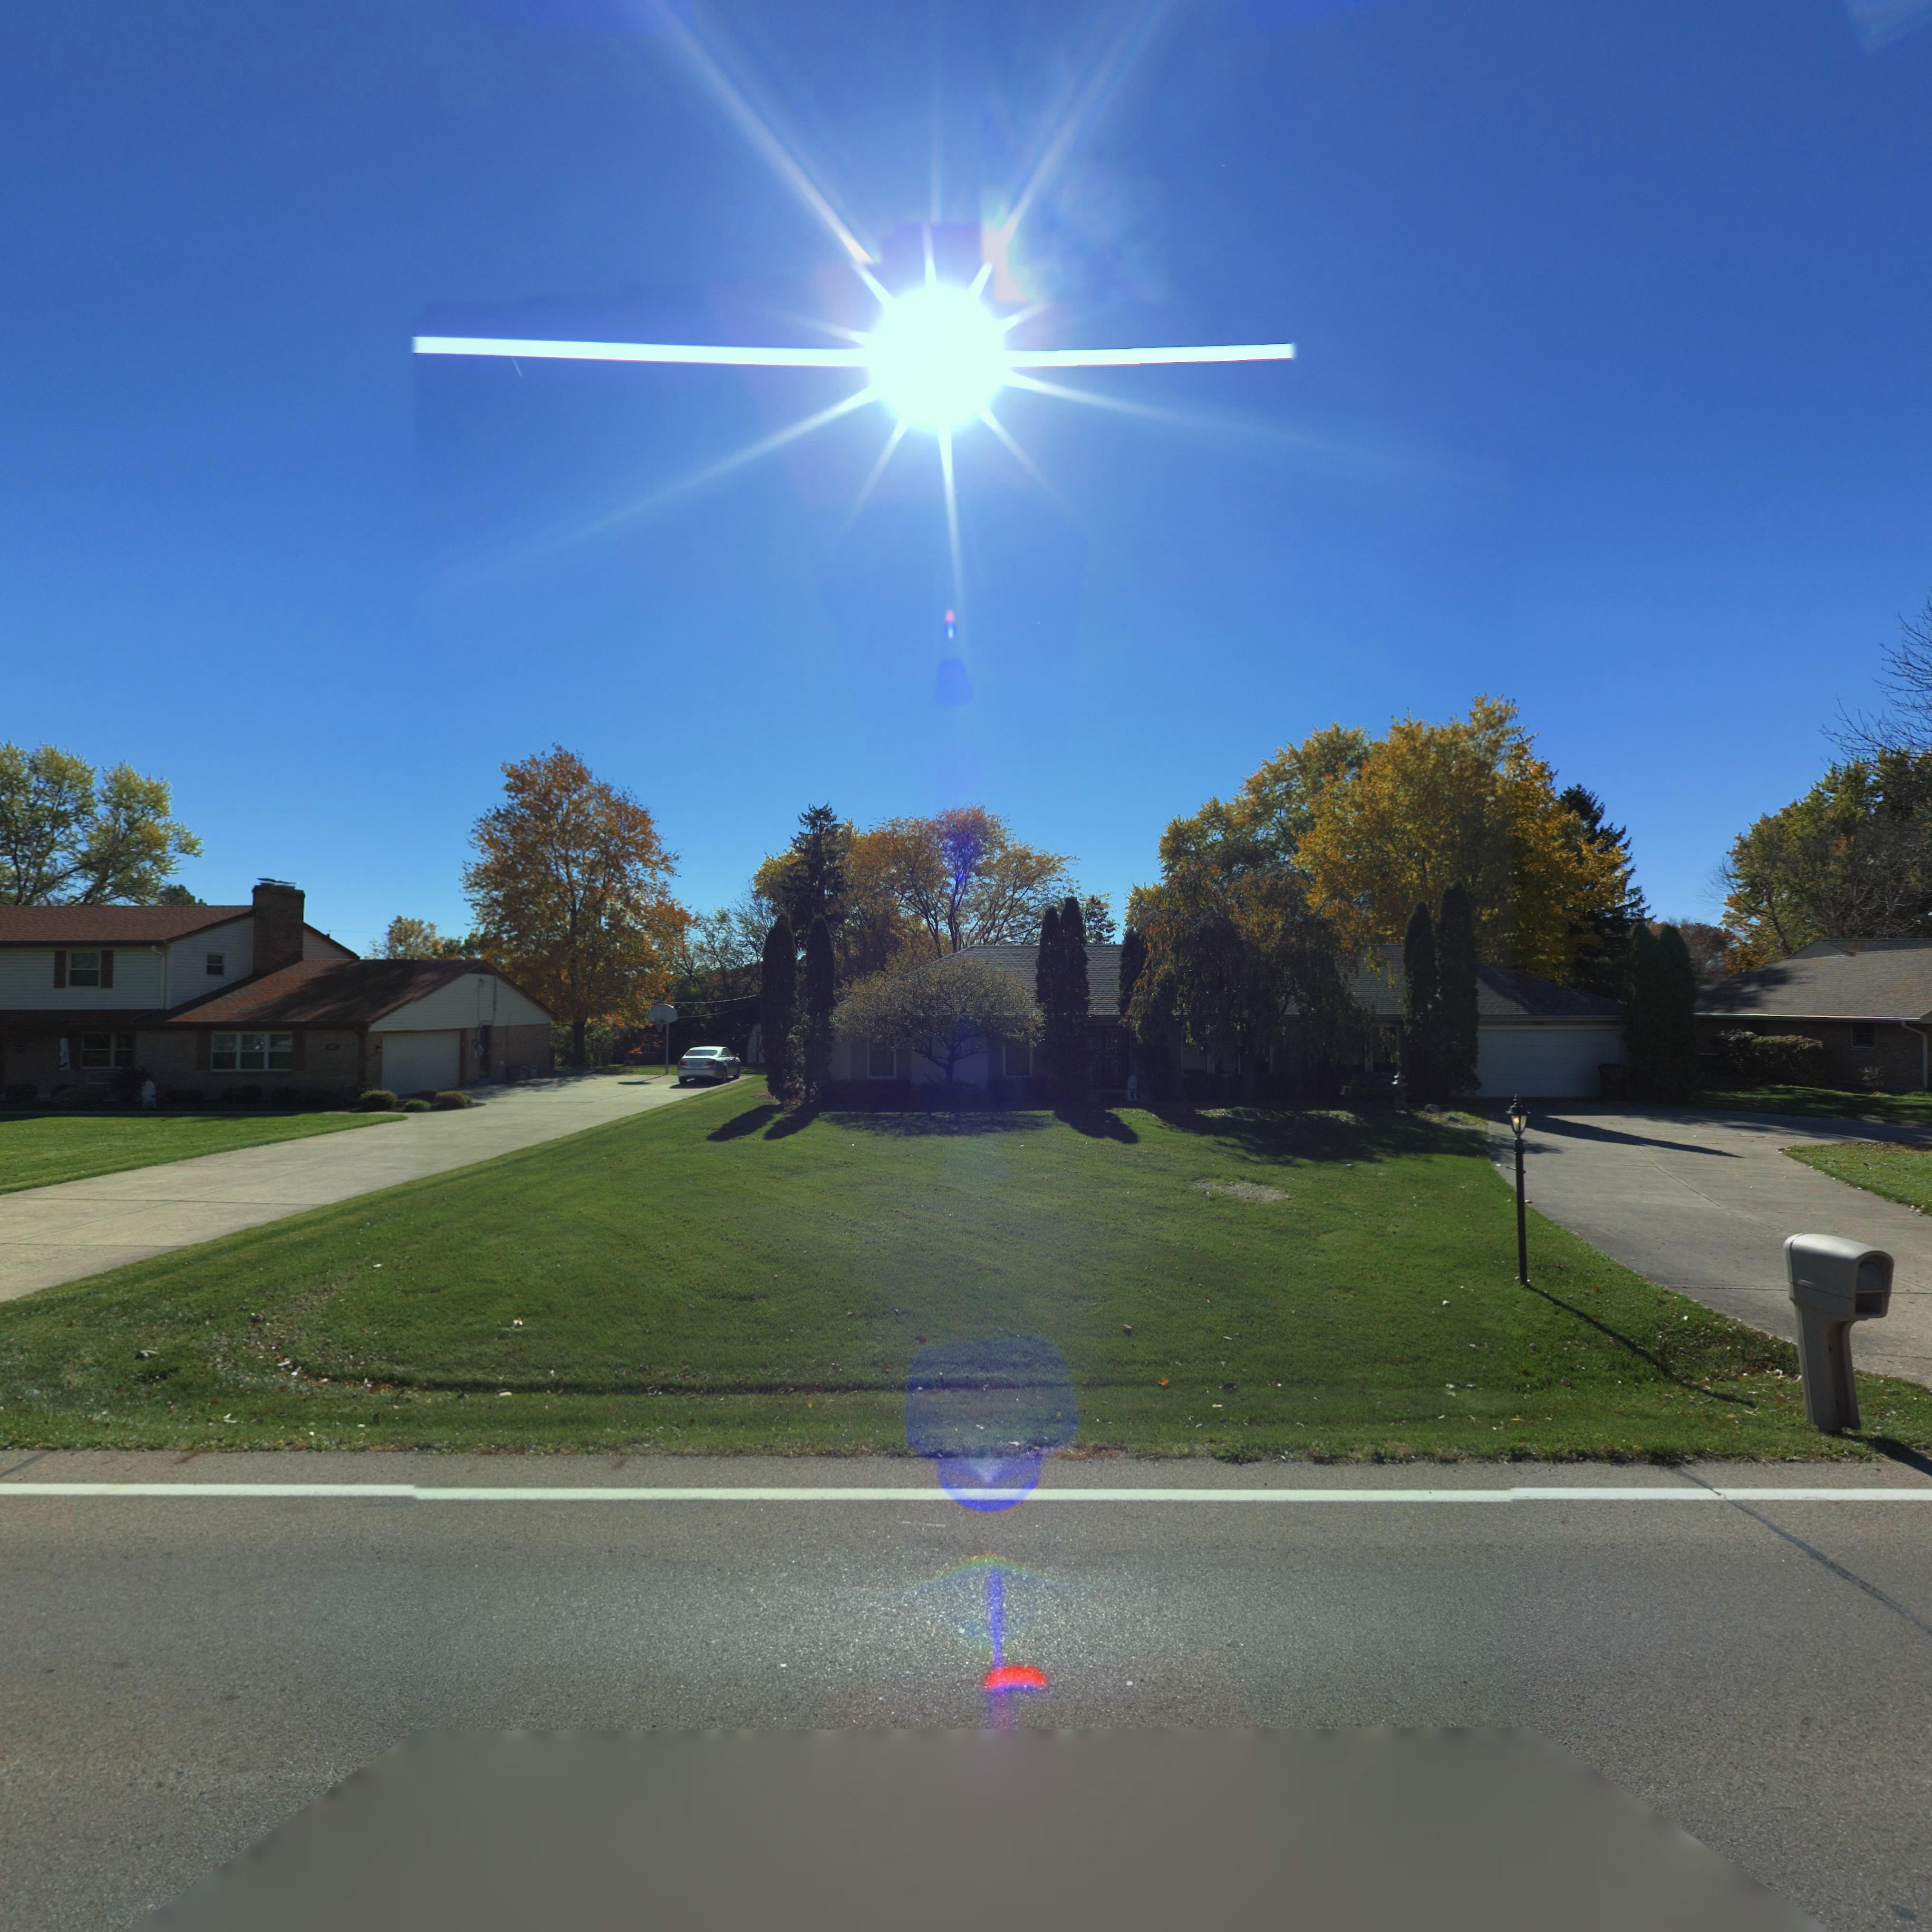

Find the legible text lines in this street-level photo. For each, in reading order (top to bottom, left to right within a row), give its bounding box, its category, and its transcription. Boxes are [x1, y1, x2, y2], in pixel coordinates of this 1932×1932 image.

[1532, 1020, 1545, 1025] StreetNumber: 5**